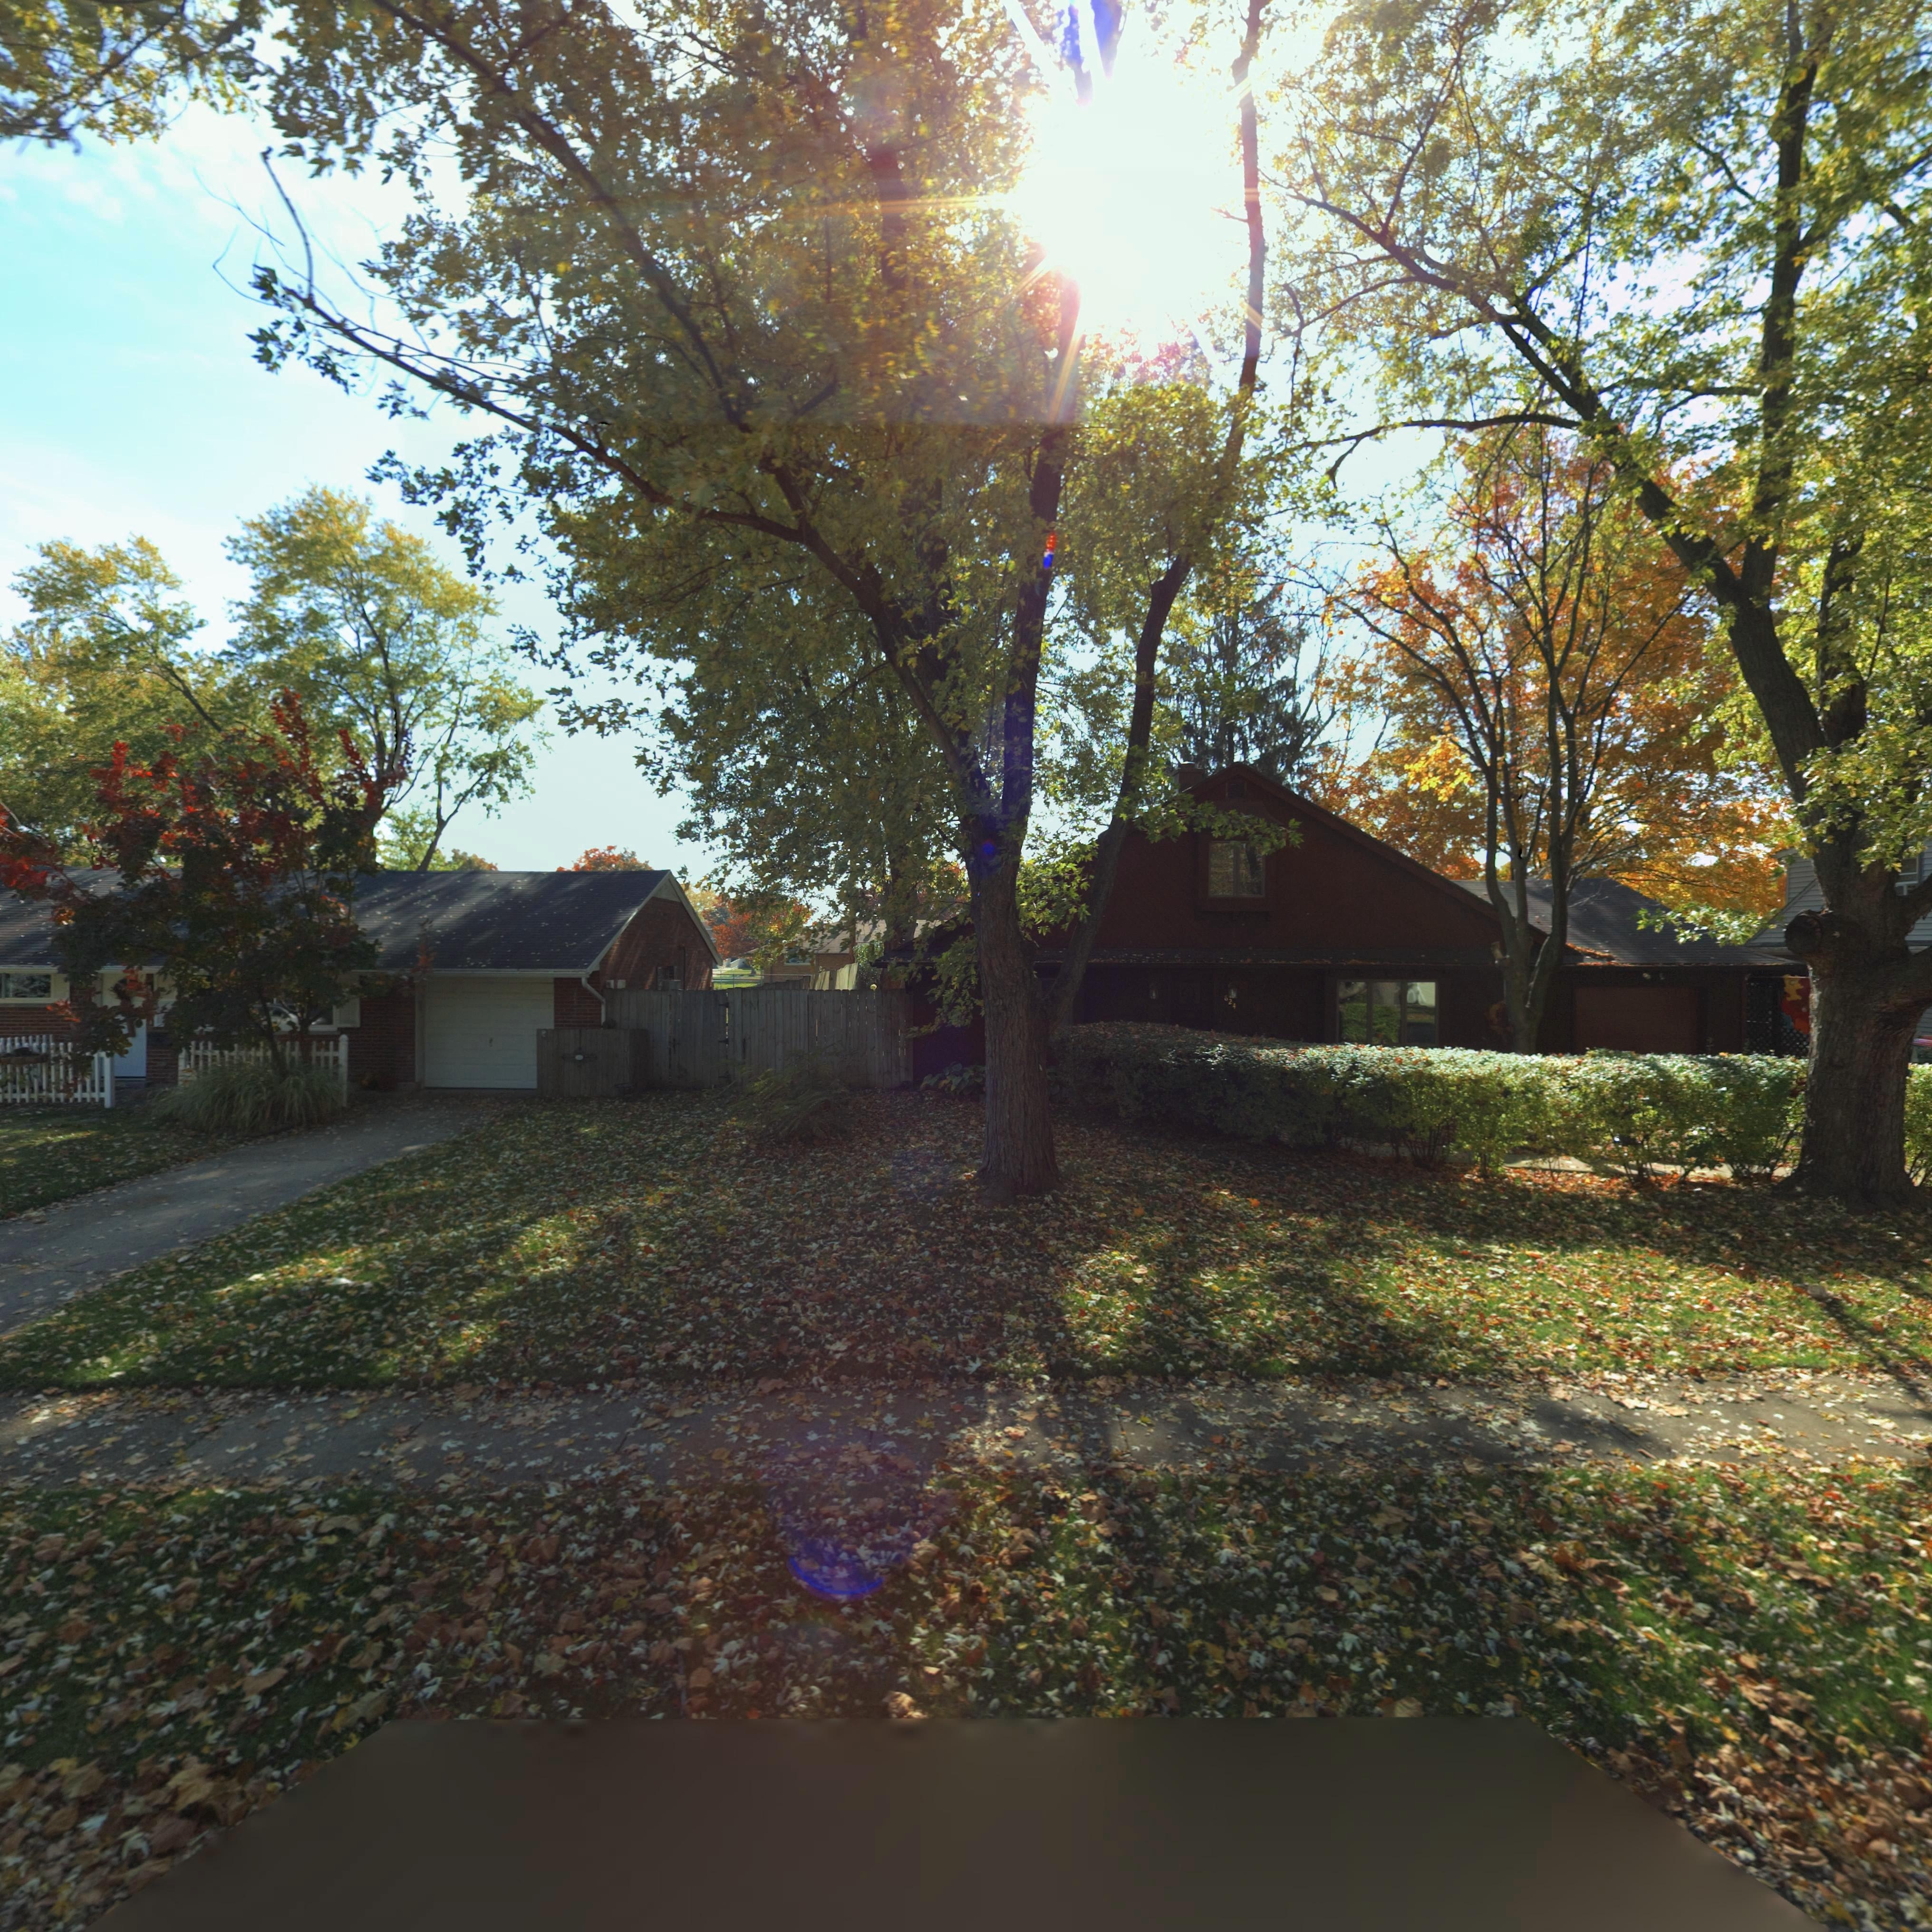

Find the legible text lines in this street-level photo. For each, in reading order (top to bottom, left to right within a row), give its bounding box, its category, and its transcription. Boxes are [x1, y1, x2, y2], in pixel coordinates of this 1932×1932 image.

[1223, 994, 1237, 1010] StreetNumber: 824